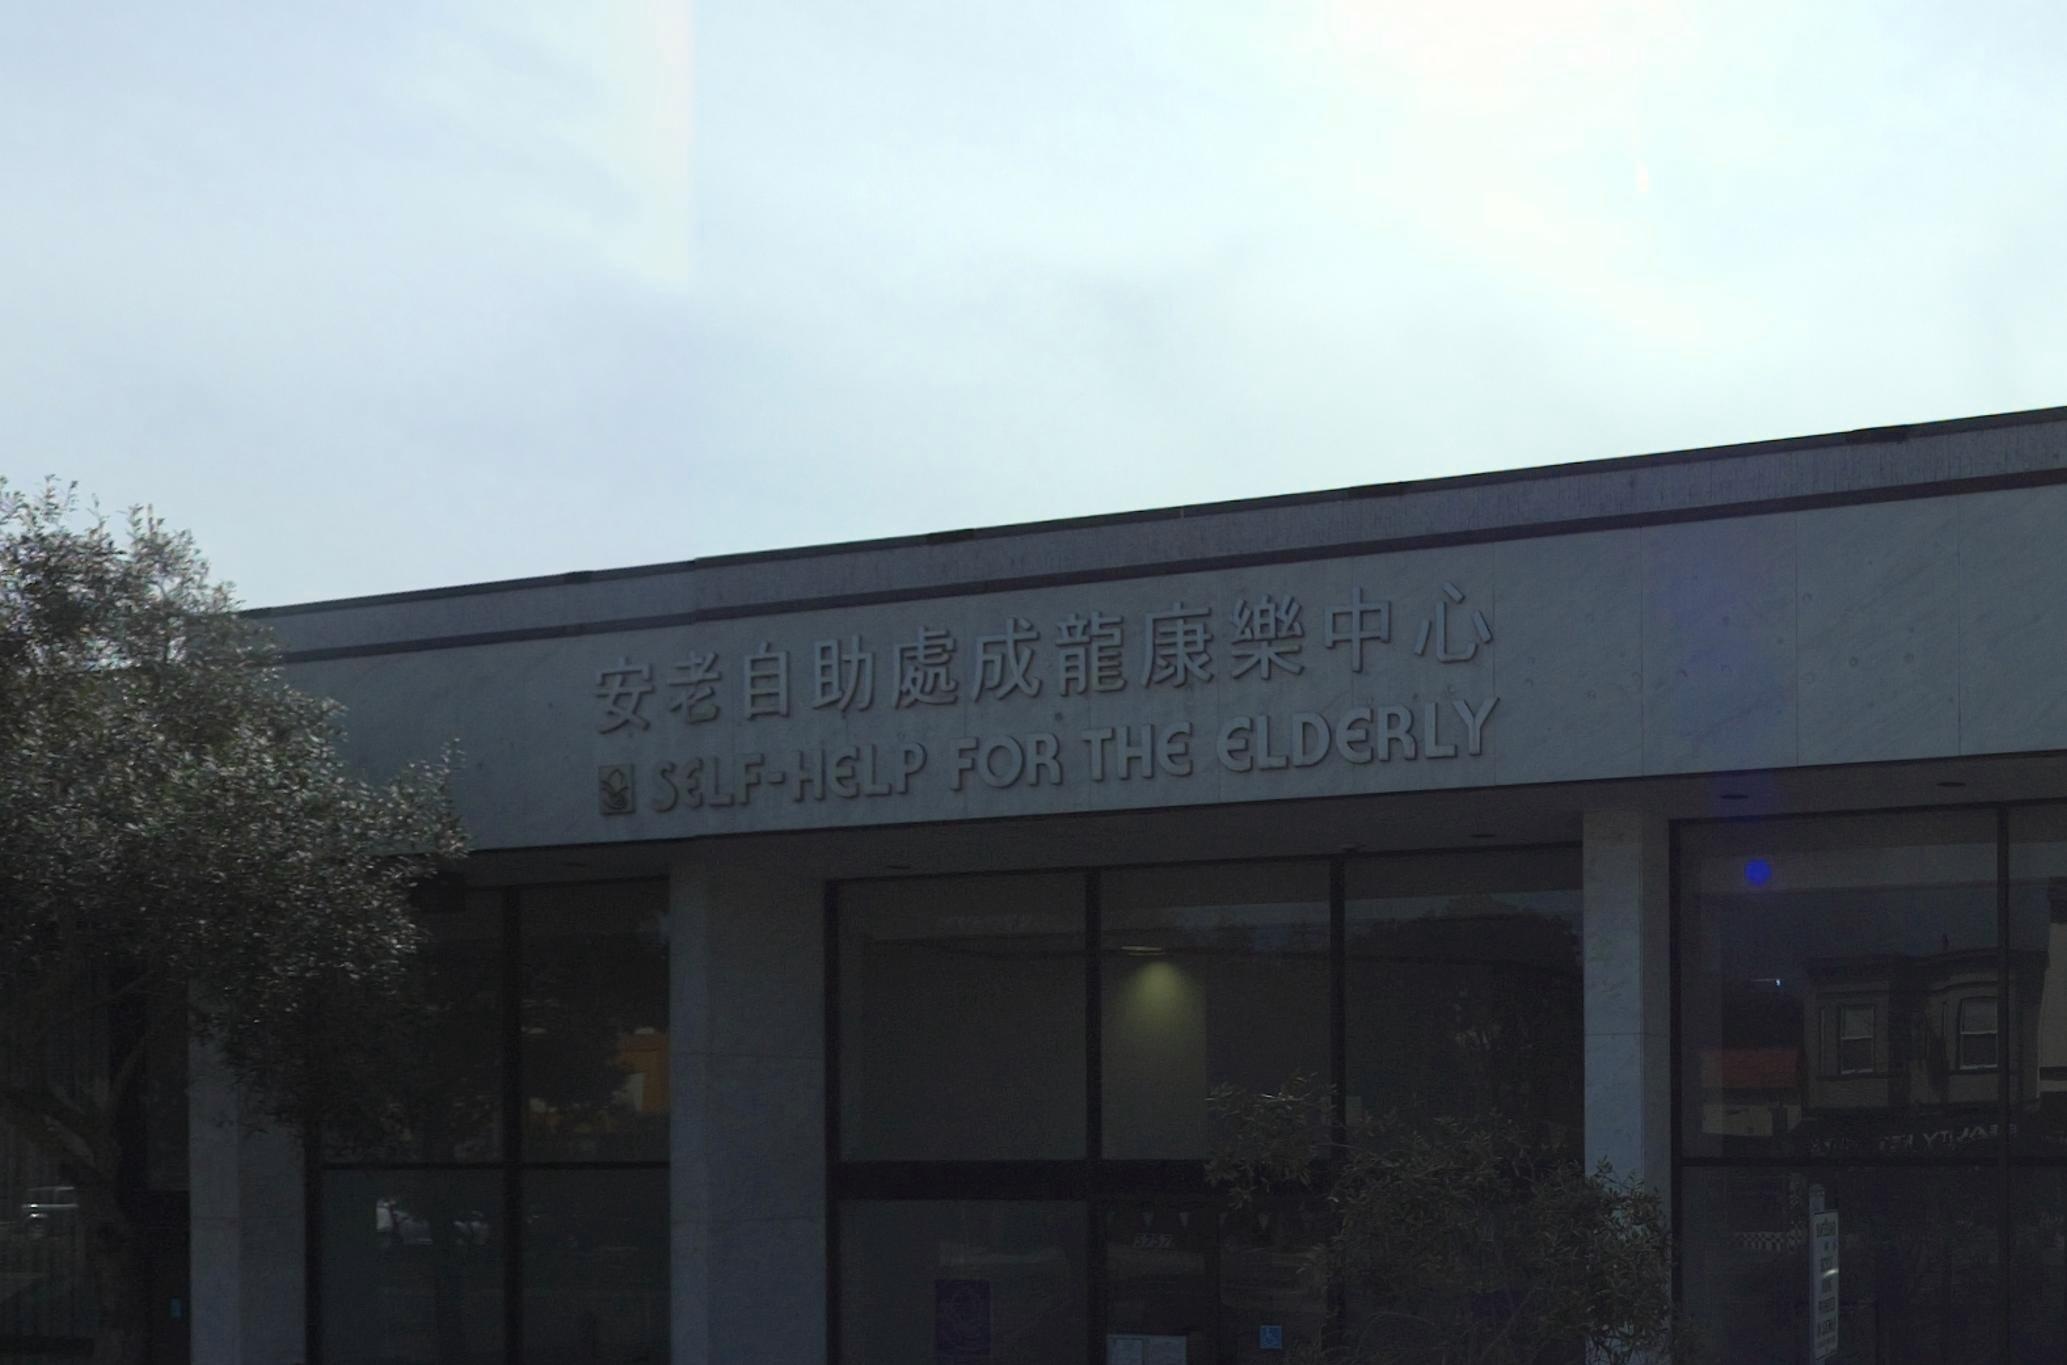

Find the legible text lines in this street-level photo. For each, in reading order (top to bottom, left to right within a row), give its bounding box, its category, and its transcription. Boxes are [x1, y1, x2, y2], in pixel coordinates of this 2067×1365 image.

[643, 694, 1504, 817] BusinessName: SELF-HELP FOR THE ELDERLY
[1919, 1117, 2004, 1151] None: YT*A*
[1134, 1232, 1173, 1250] StreetNumber: 5757